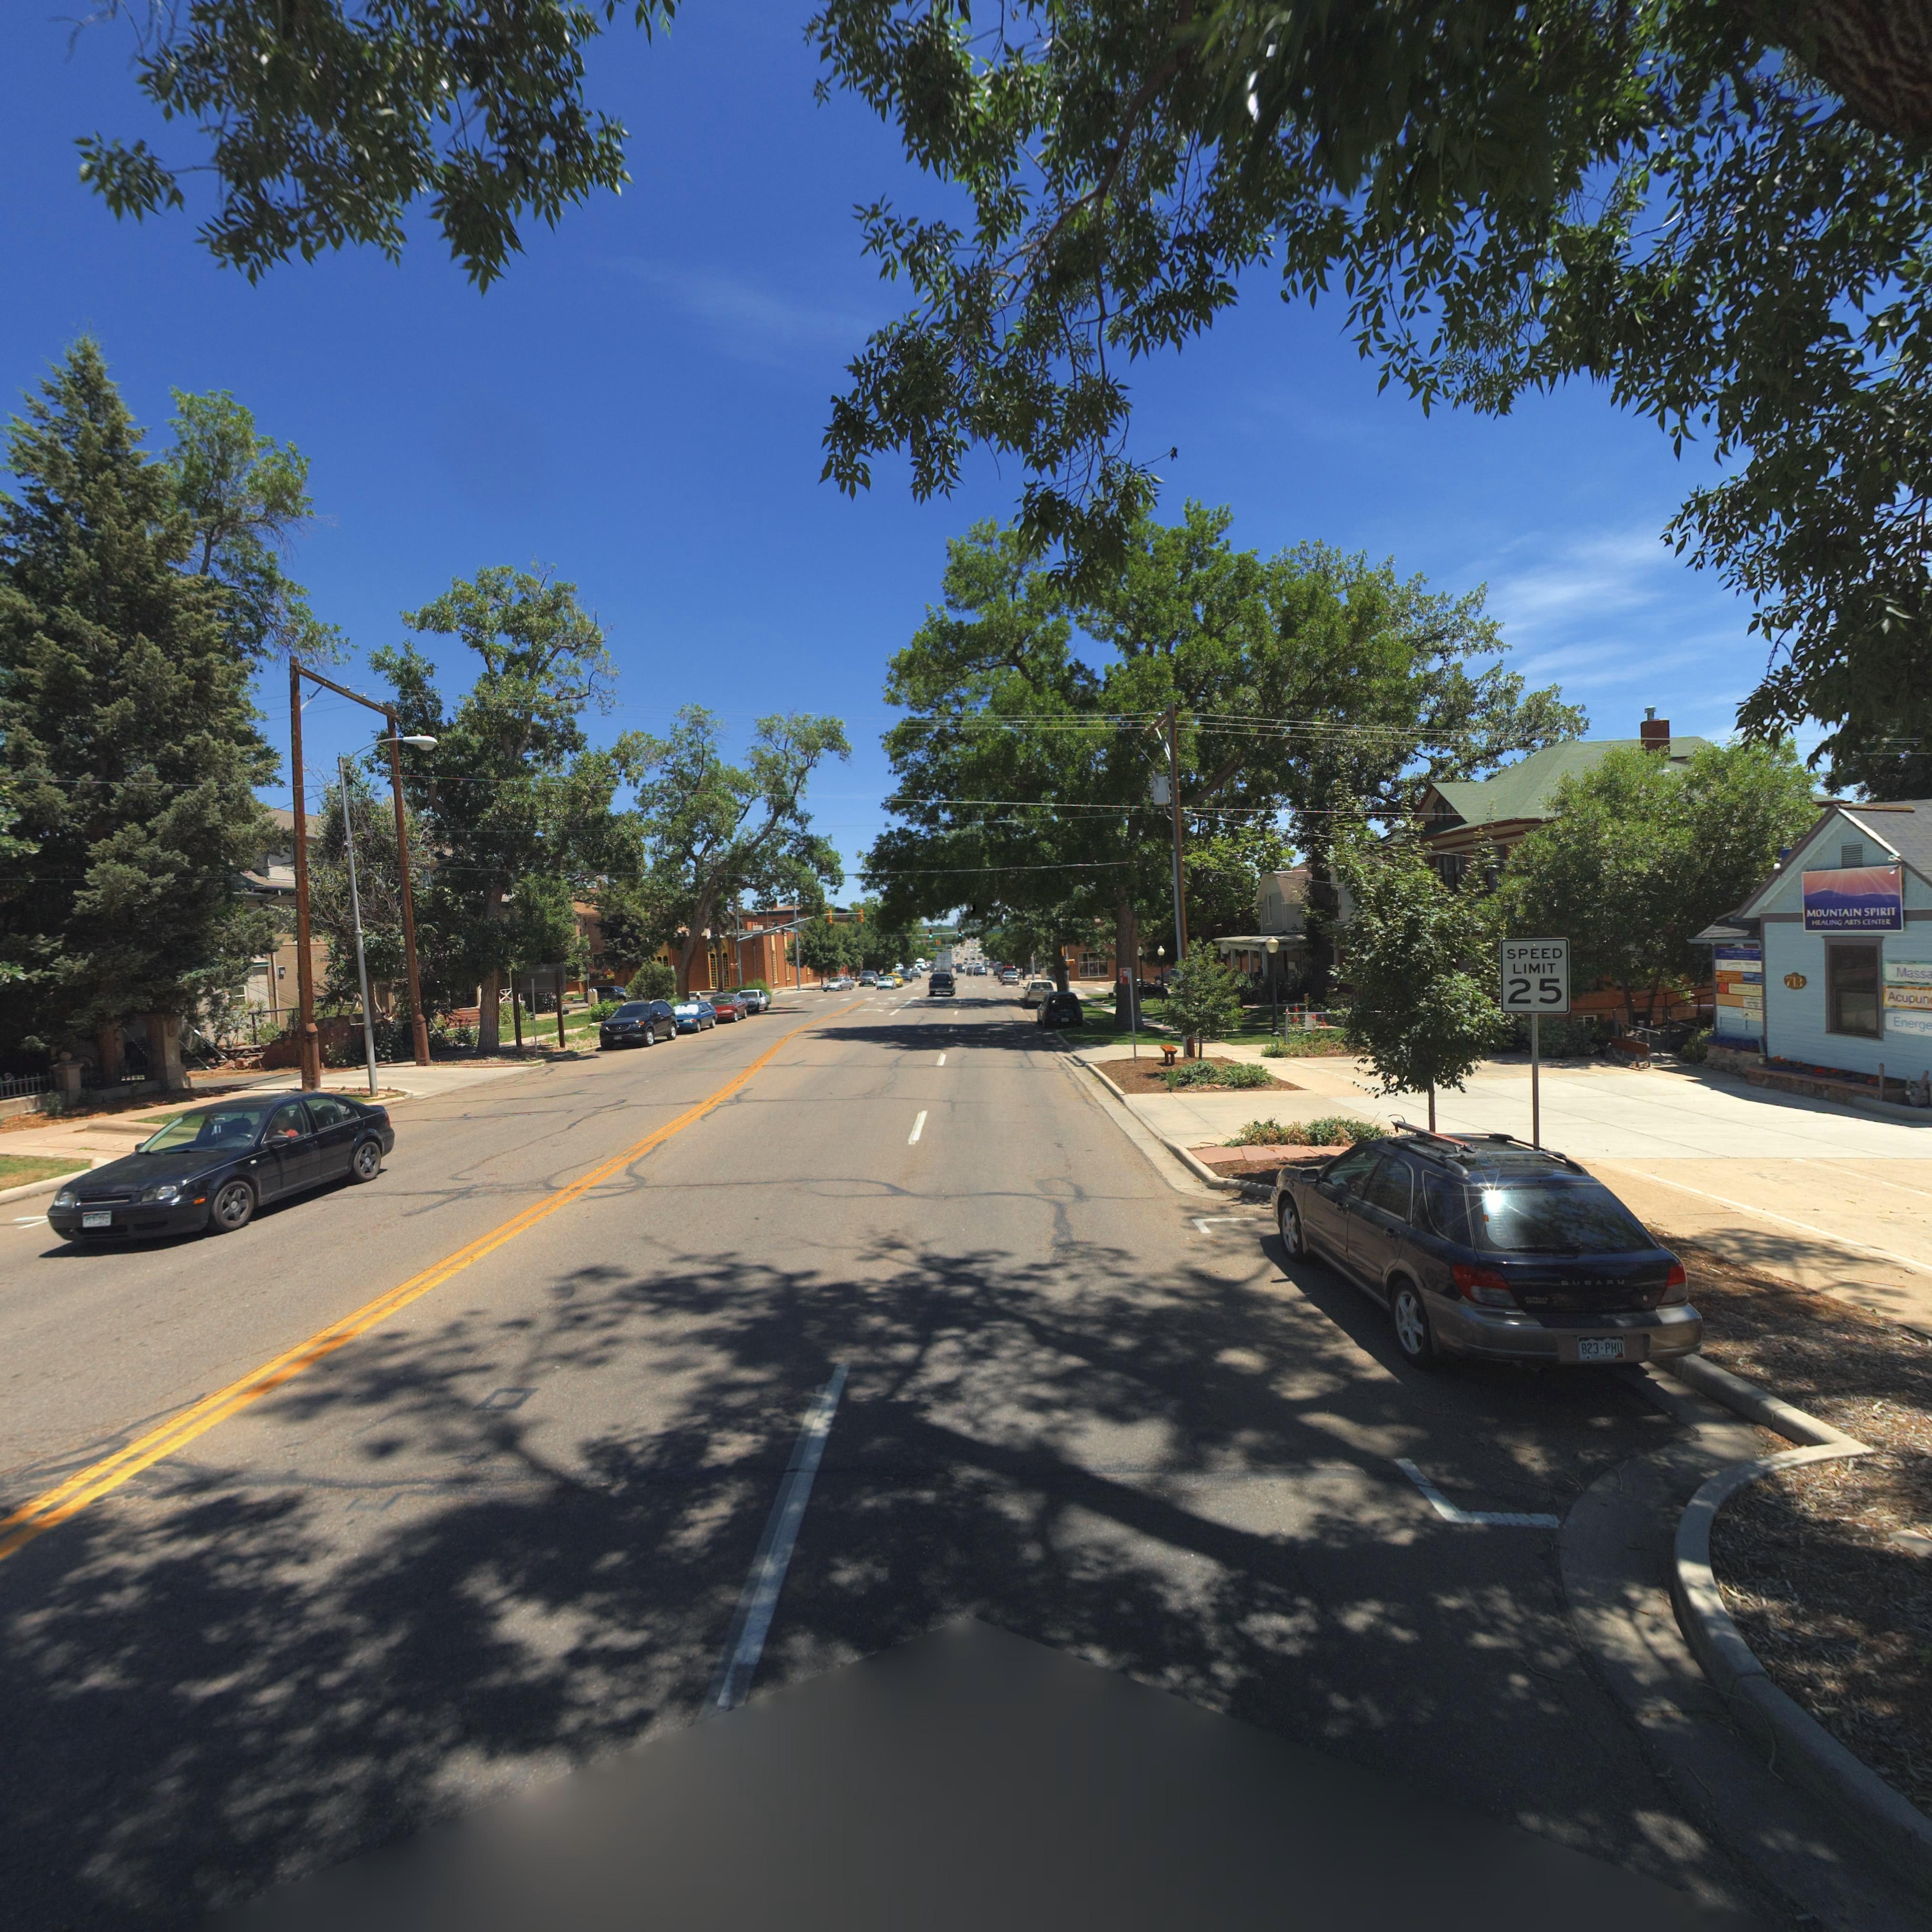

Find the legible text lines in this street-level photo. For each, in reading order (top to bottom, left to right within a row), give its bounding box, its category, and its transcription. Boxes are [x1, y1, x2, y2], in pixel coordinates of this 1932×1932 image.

[1806, 907, 1896, 918] BusinessName: MOUNTAIN SPIRIT
[1811, 918, 1890, 926] BusinessName: HEALING ARTS CENTER
[1785, 976, 1803, 987] StreetNumber: 713